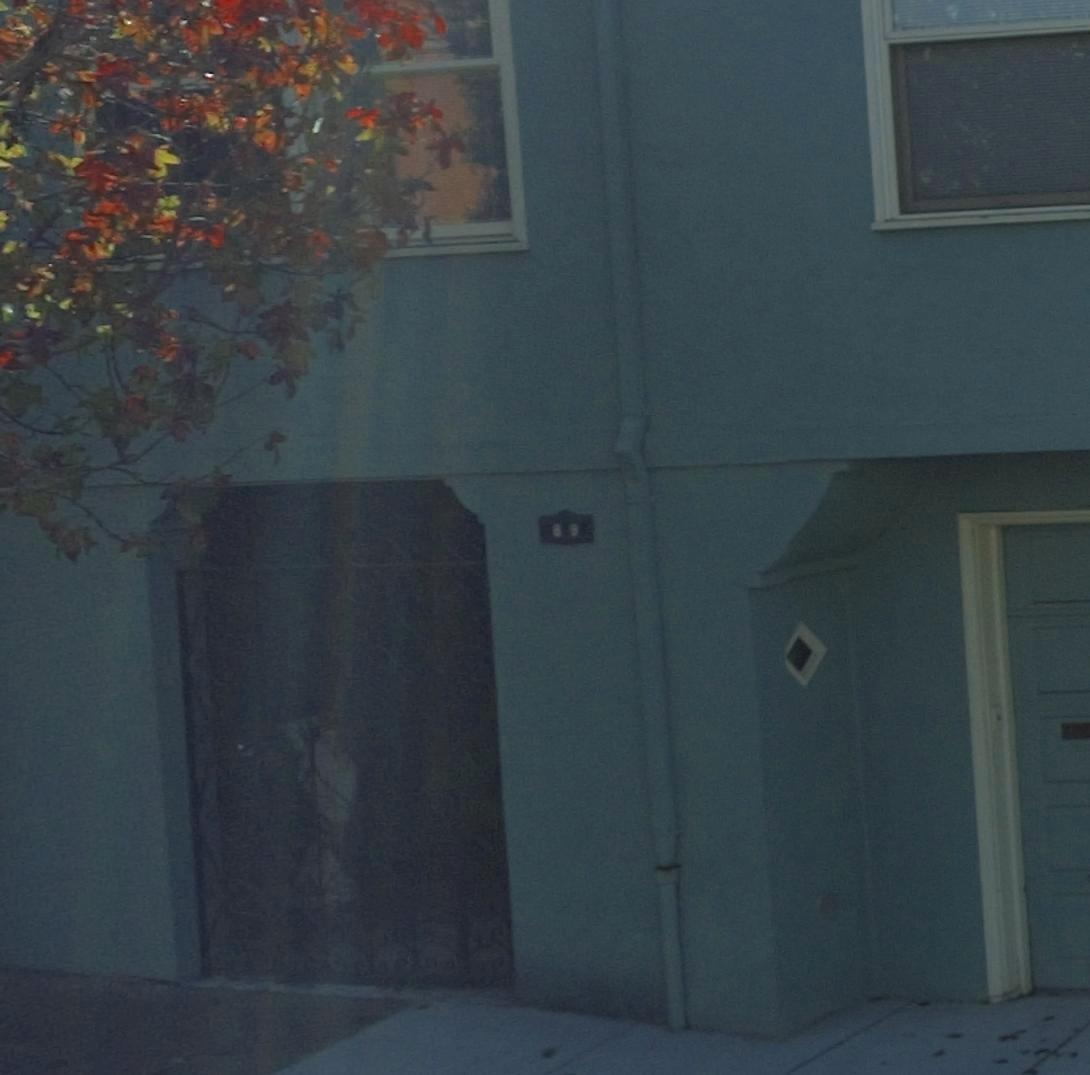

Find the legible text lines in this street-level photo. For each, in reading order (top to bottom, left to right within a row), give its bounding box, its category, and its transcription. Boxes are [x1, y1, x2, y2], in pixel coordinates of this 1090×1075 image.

[550, 522, 580, 537] StreetNumber: 89